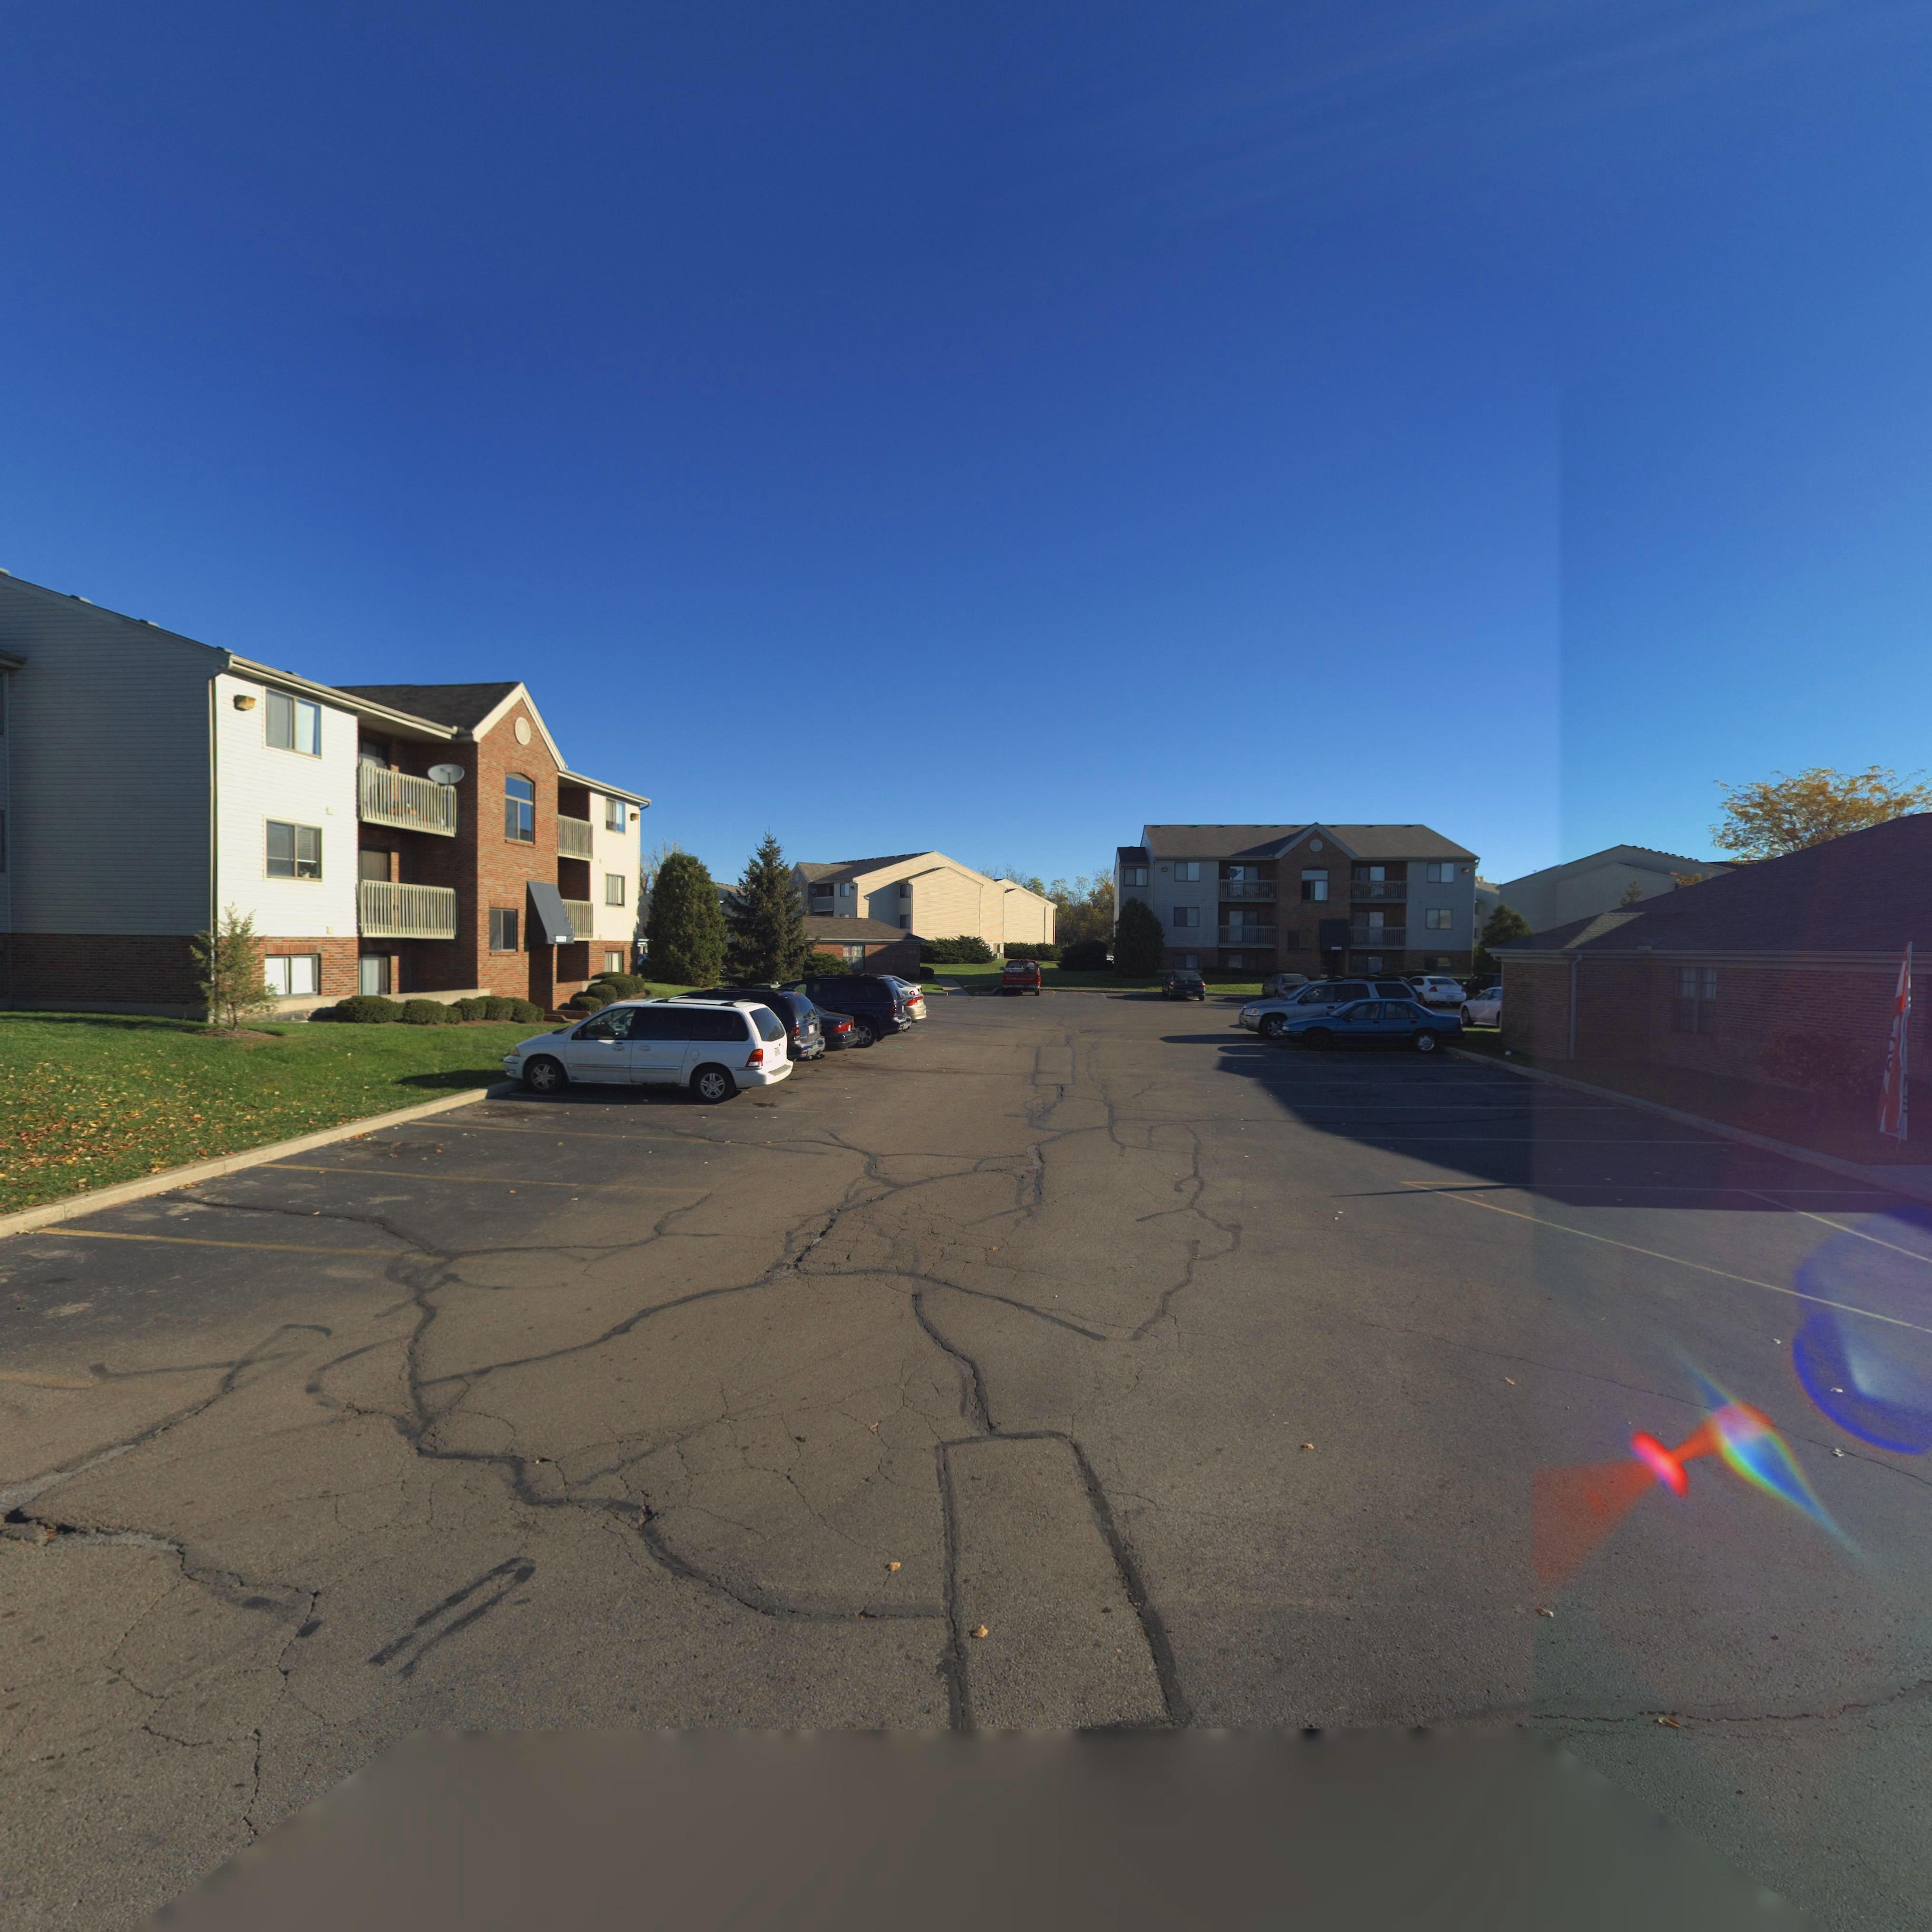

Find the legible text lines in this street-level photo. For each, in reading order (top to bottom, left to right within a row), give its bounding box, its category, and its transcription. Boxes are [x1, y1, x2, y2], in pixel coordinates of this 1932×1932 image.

[1331, 946, 1342, 950] StreetNumber: 2**3